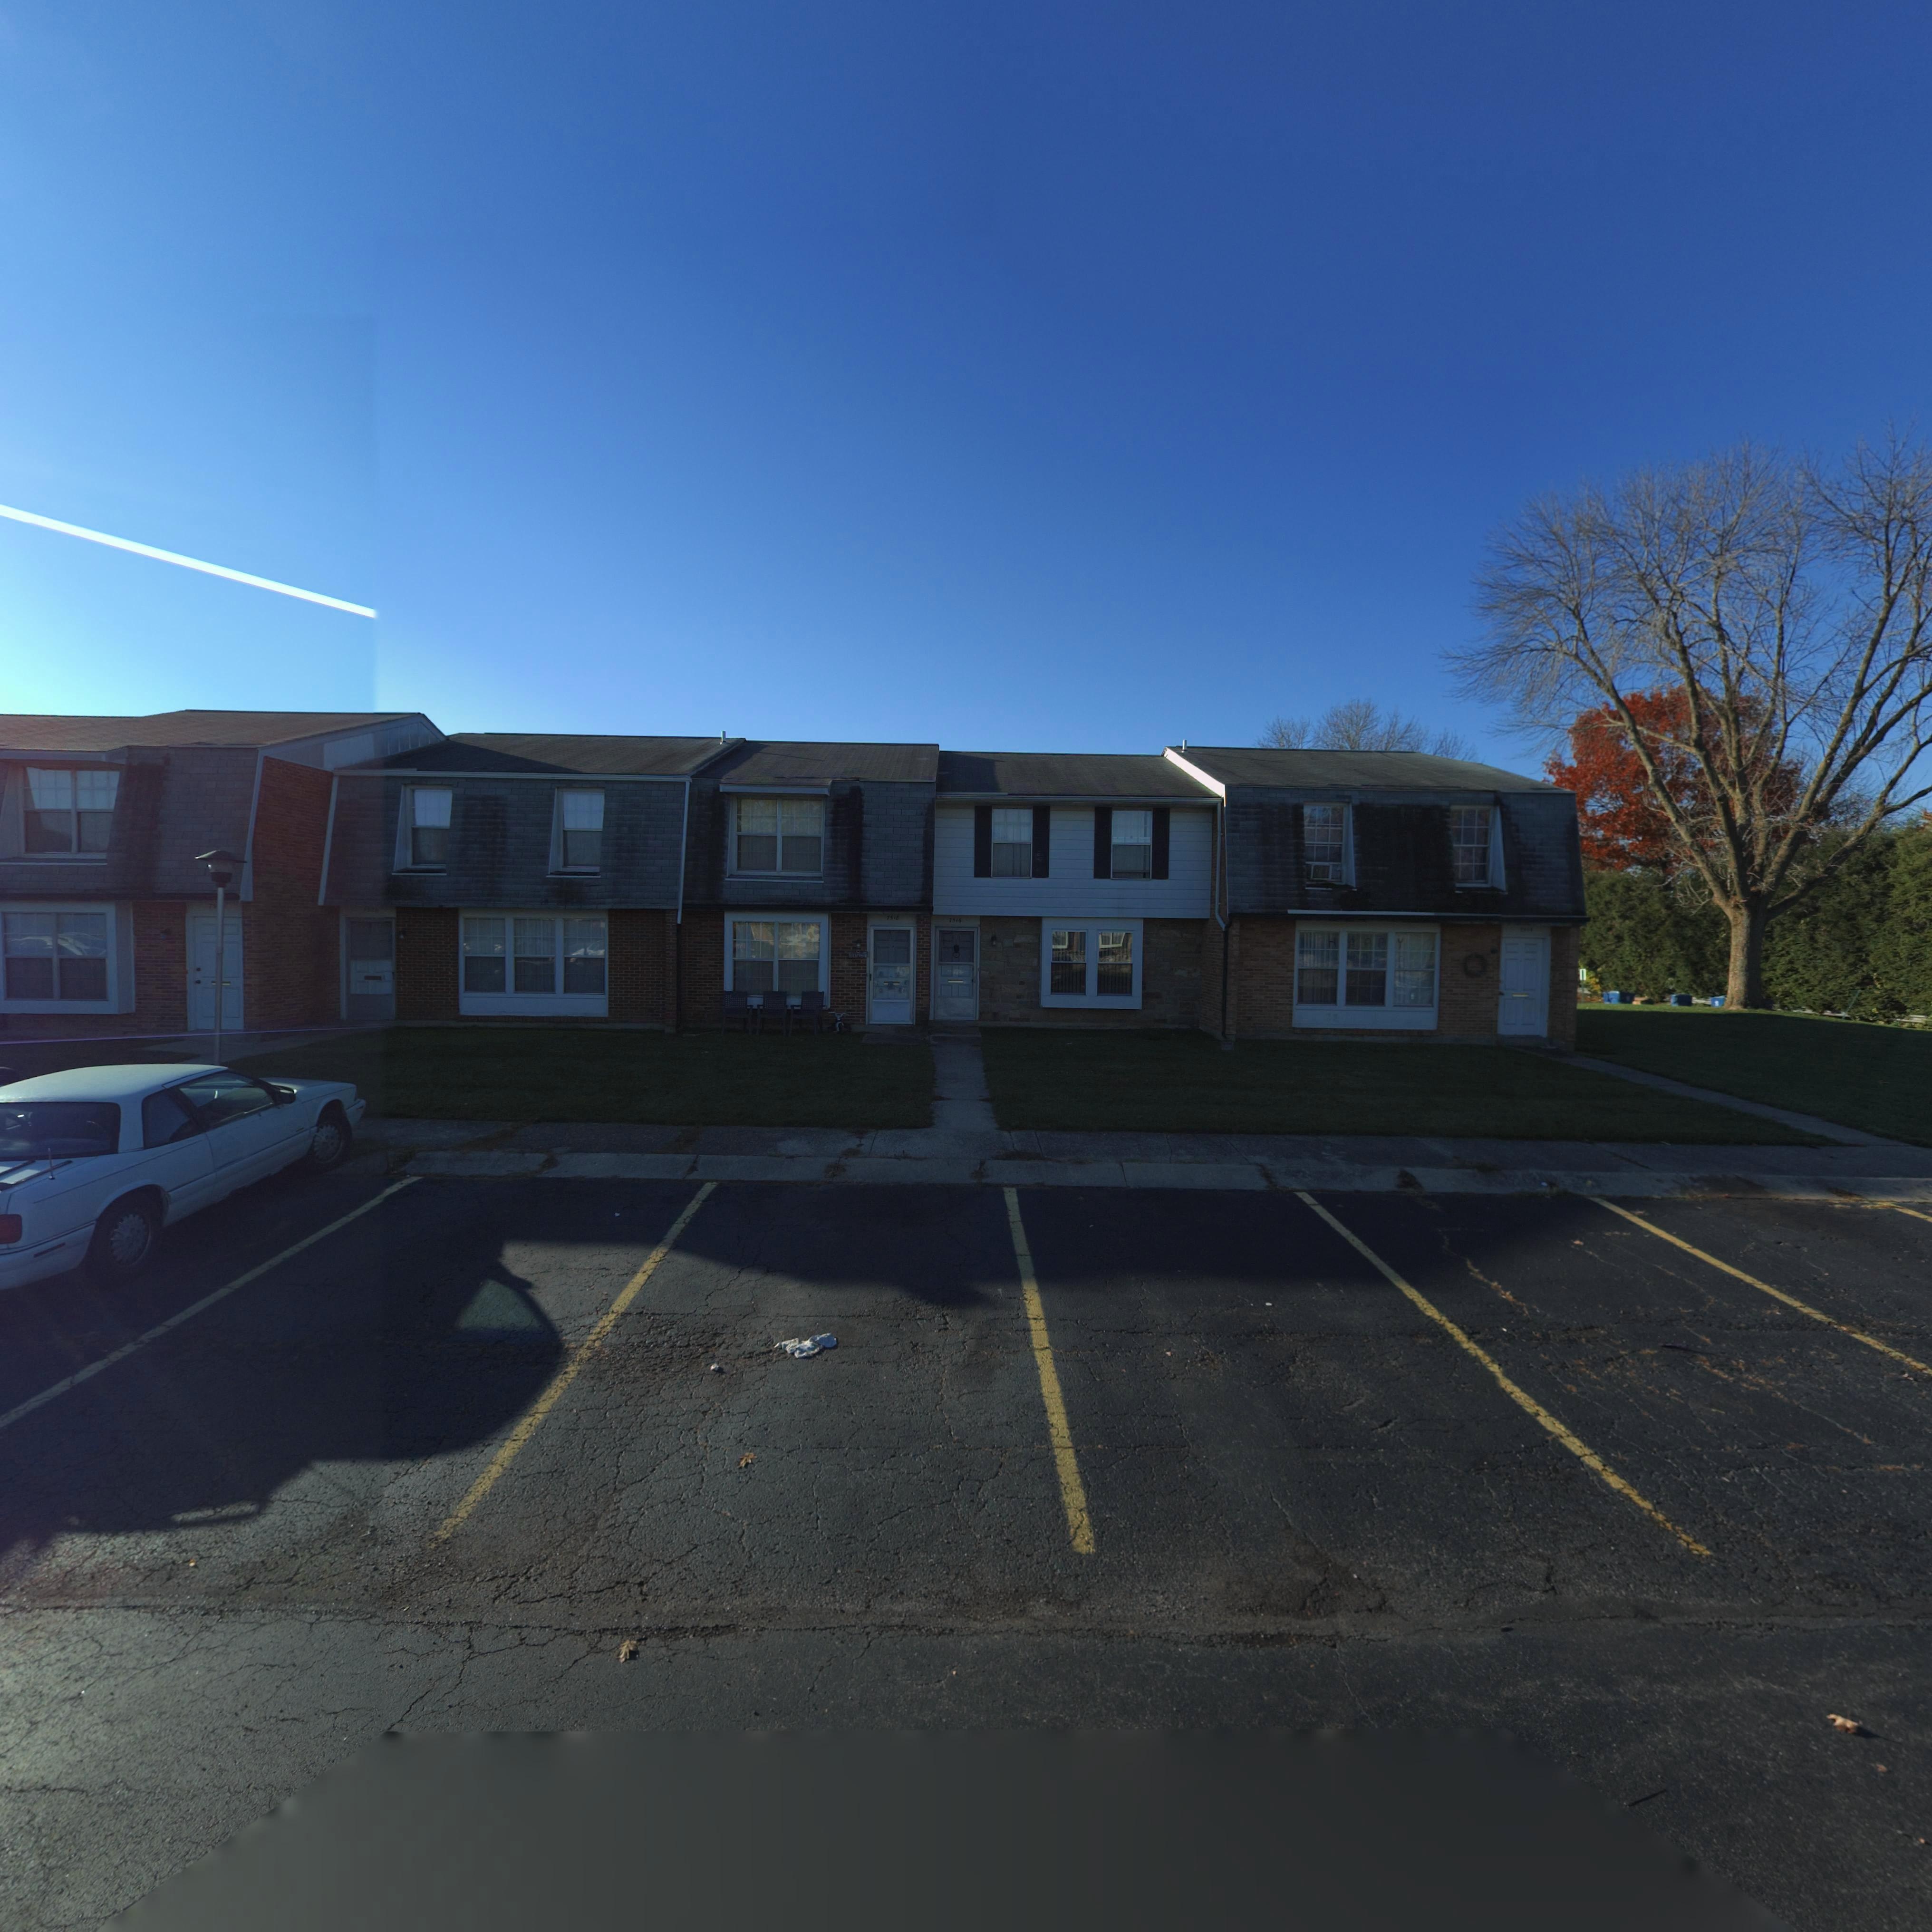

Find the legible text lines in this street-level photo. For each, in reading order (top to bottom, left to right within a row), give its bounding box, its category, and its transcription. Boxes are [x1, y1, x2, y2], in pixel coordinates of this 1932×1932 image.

[207, 902, 218, 910] StreetNumber: 7*
[886, 914, 901, 921] StreetNumber: 7518
[948, 917, 963, 924] StreetNumber: 7*16